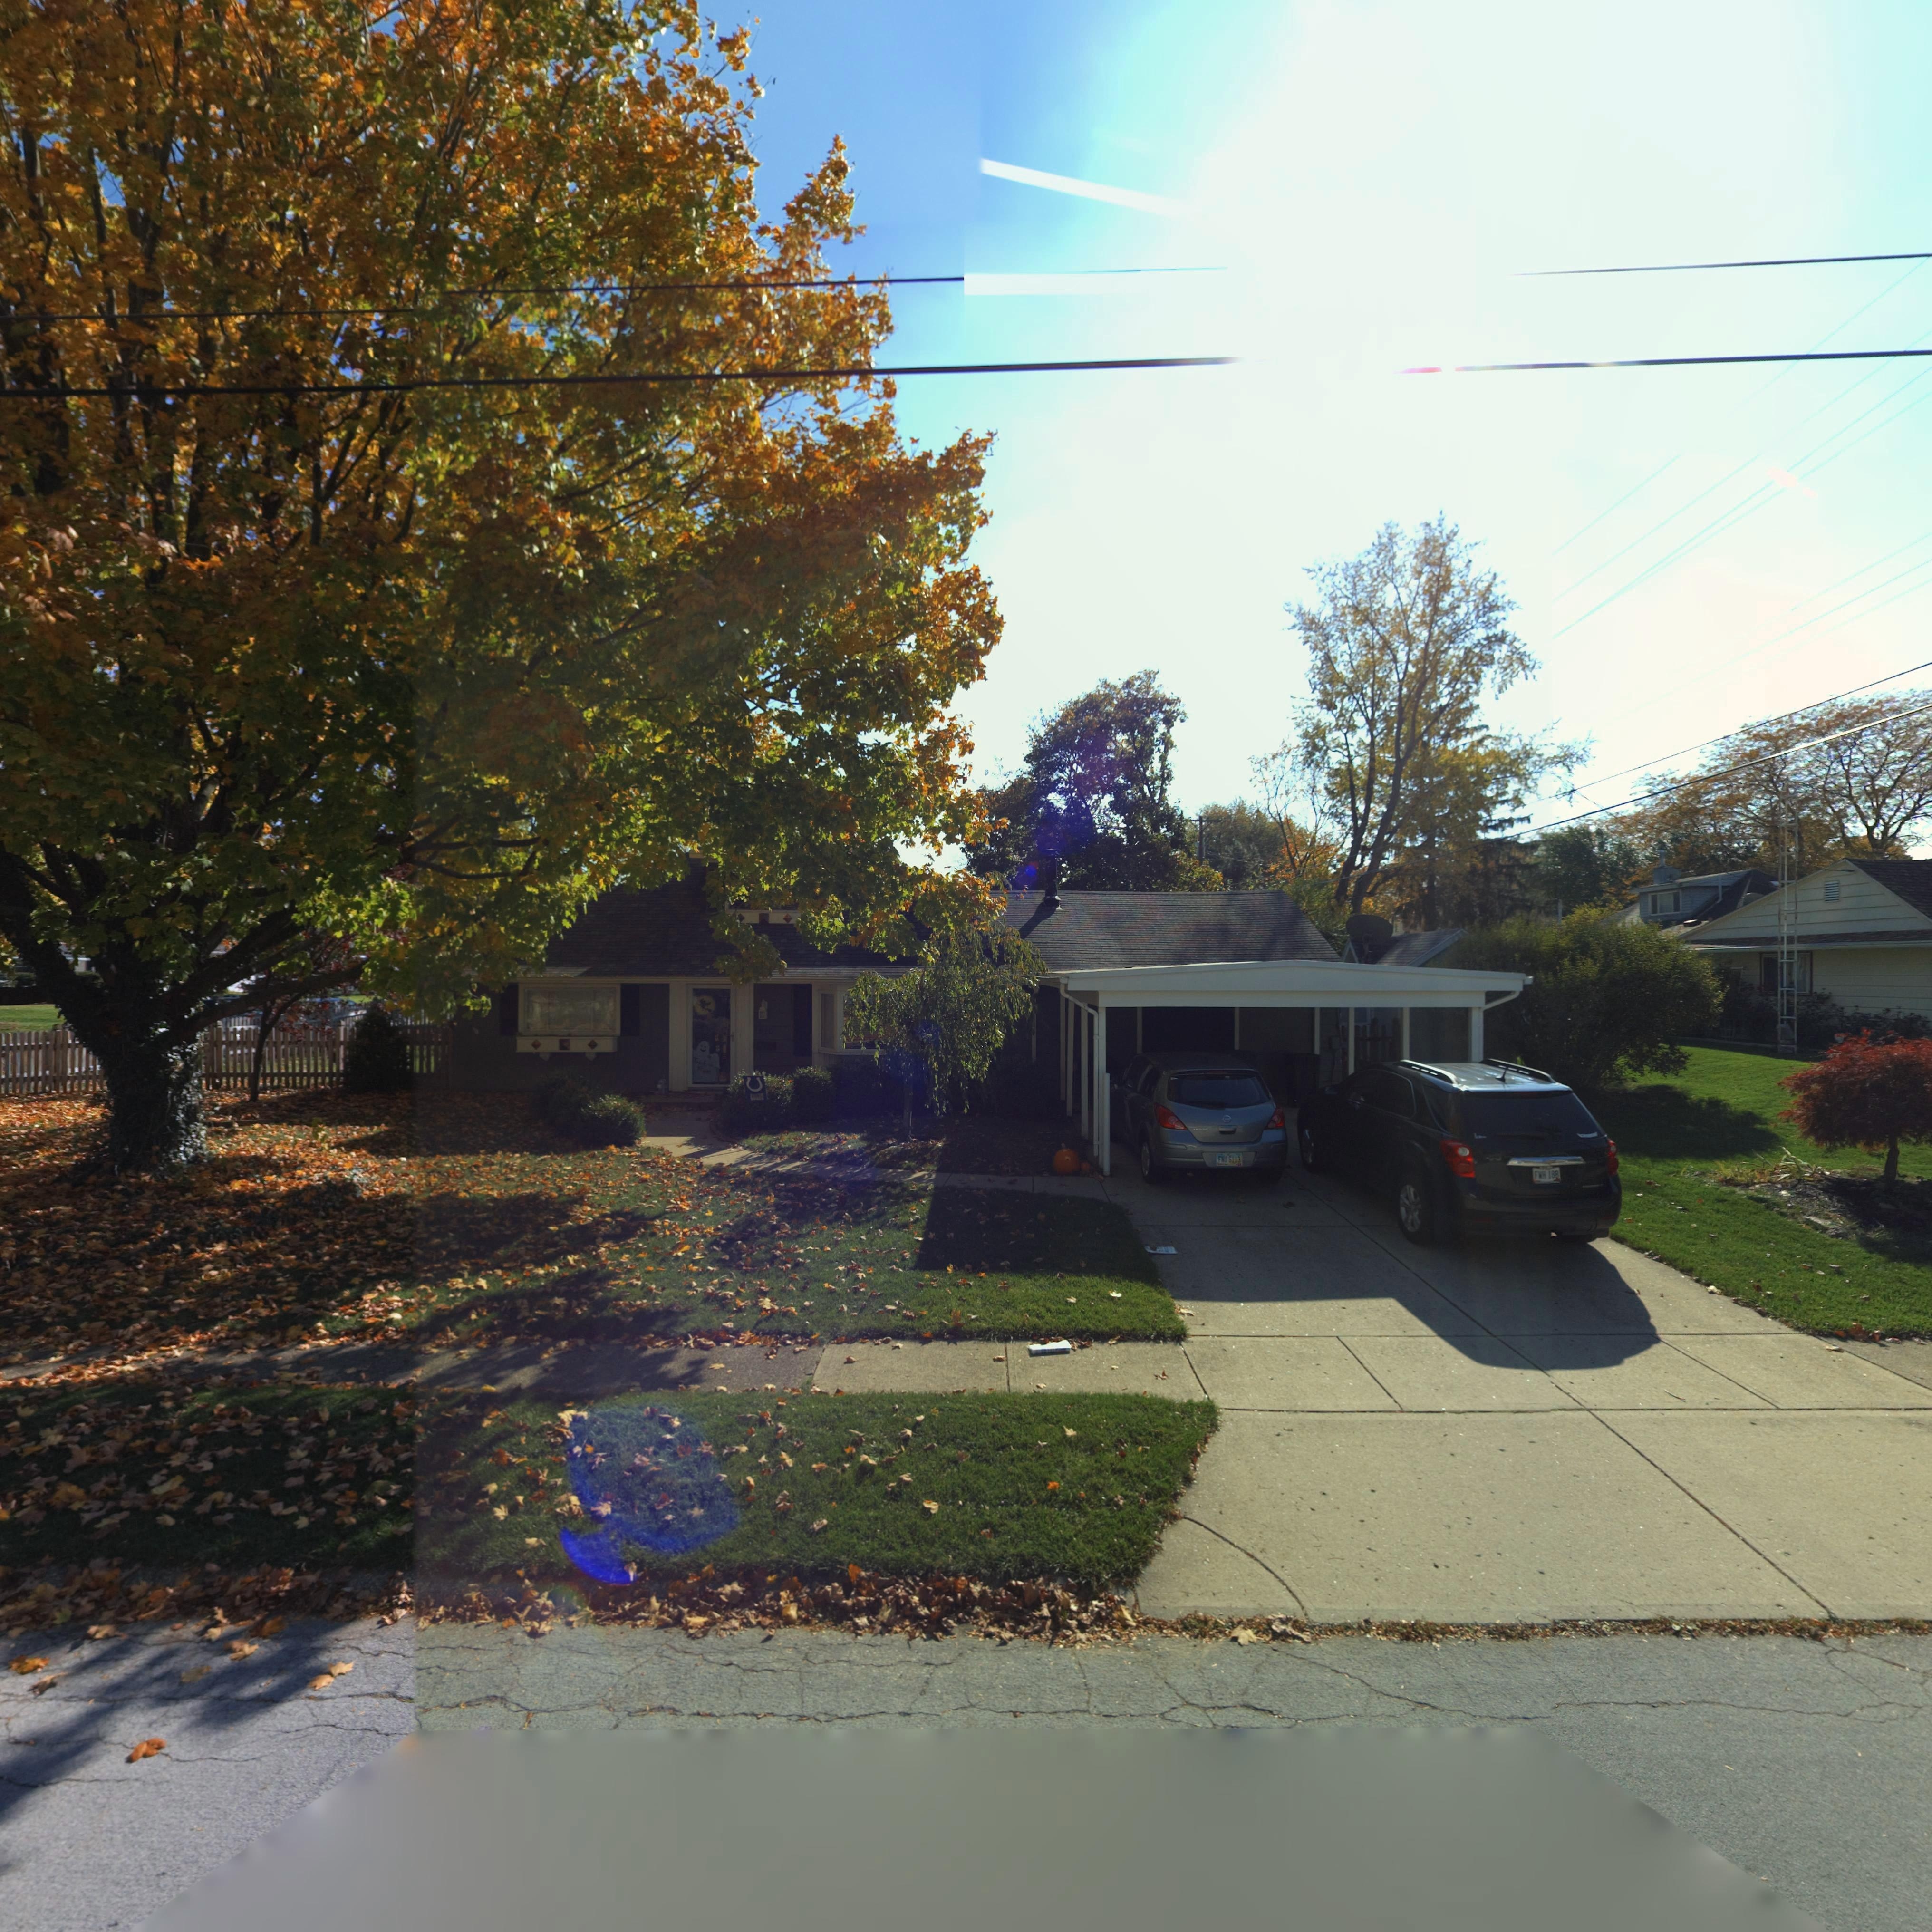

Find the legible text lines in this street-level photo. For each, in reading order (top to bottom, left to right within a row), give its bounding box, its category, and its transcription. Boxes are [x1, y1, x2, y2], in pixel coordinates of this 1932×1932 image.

[1217, 1155, 1241, 1164] None: F*U 6113
[1534, 1169, 1560, 1180] None: FWH 18*